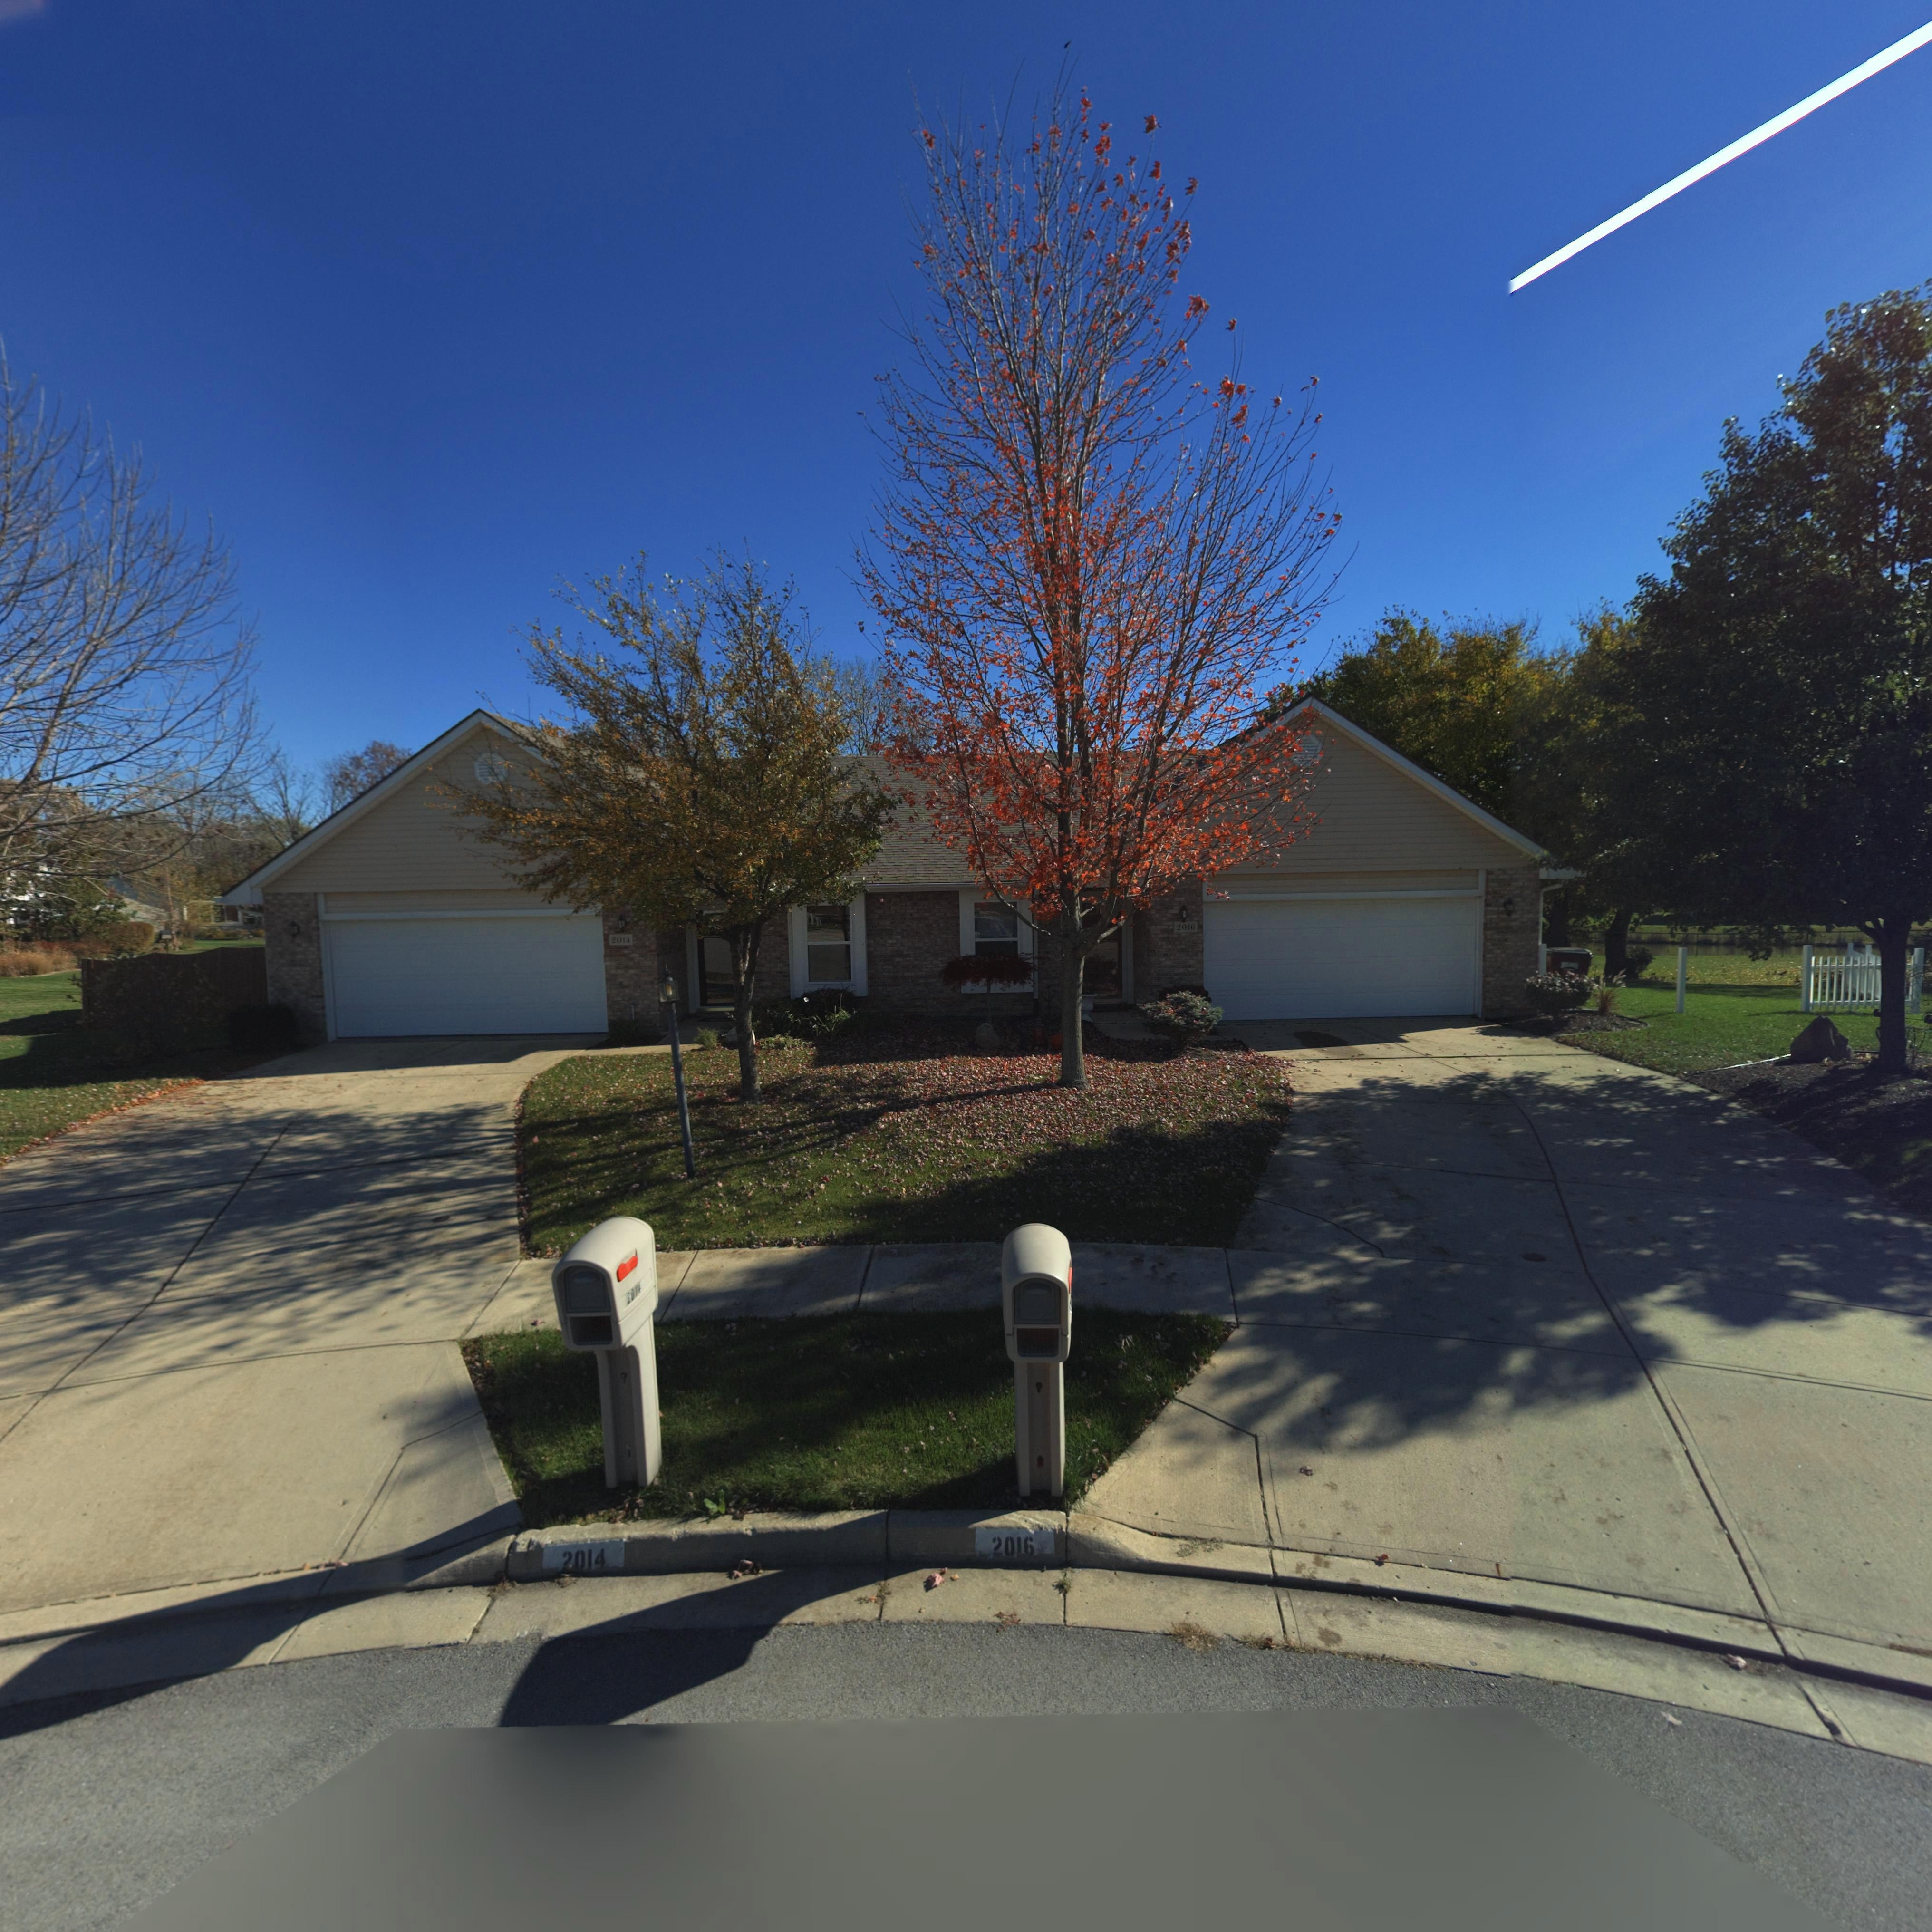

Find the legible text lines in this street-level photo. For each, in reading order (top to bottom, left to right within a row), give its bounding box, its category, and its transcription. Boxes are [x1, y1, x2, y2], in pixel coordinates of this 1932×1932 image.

[1176, 923, 1196, 932] StreetNumber: 2016
[611, 936, 631, 944] StreetNumber: 2014
[624, 1280, 642, 1307] StreetNumber: 201*
[560, 1546, 609, 1571] StreetNumber: *014
[990, 1534, 1037, 1561] StreetNumber: 2016